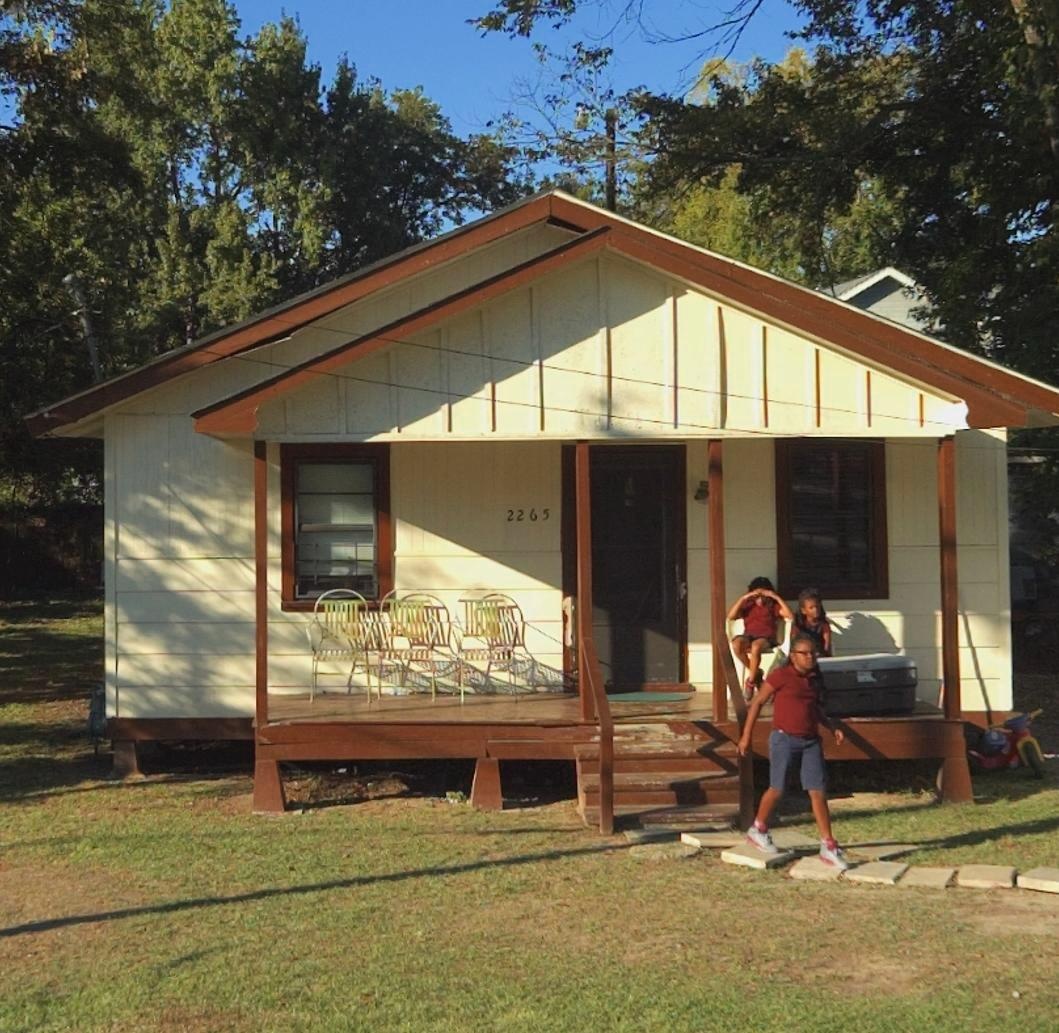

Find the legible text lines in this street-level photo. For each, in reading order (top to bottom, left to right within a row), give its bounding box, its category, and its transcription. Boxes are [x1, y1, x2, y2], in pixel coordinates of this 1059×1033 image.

[506, 507, 551, 523] StreetNumber: 2265